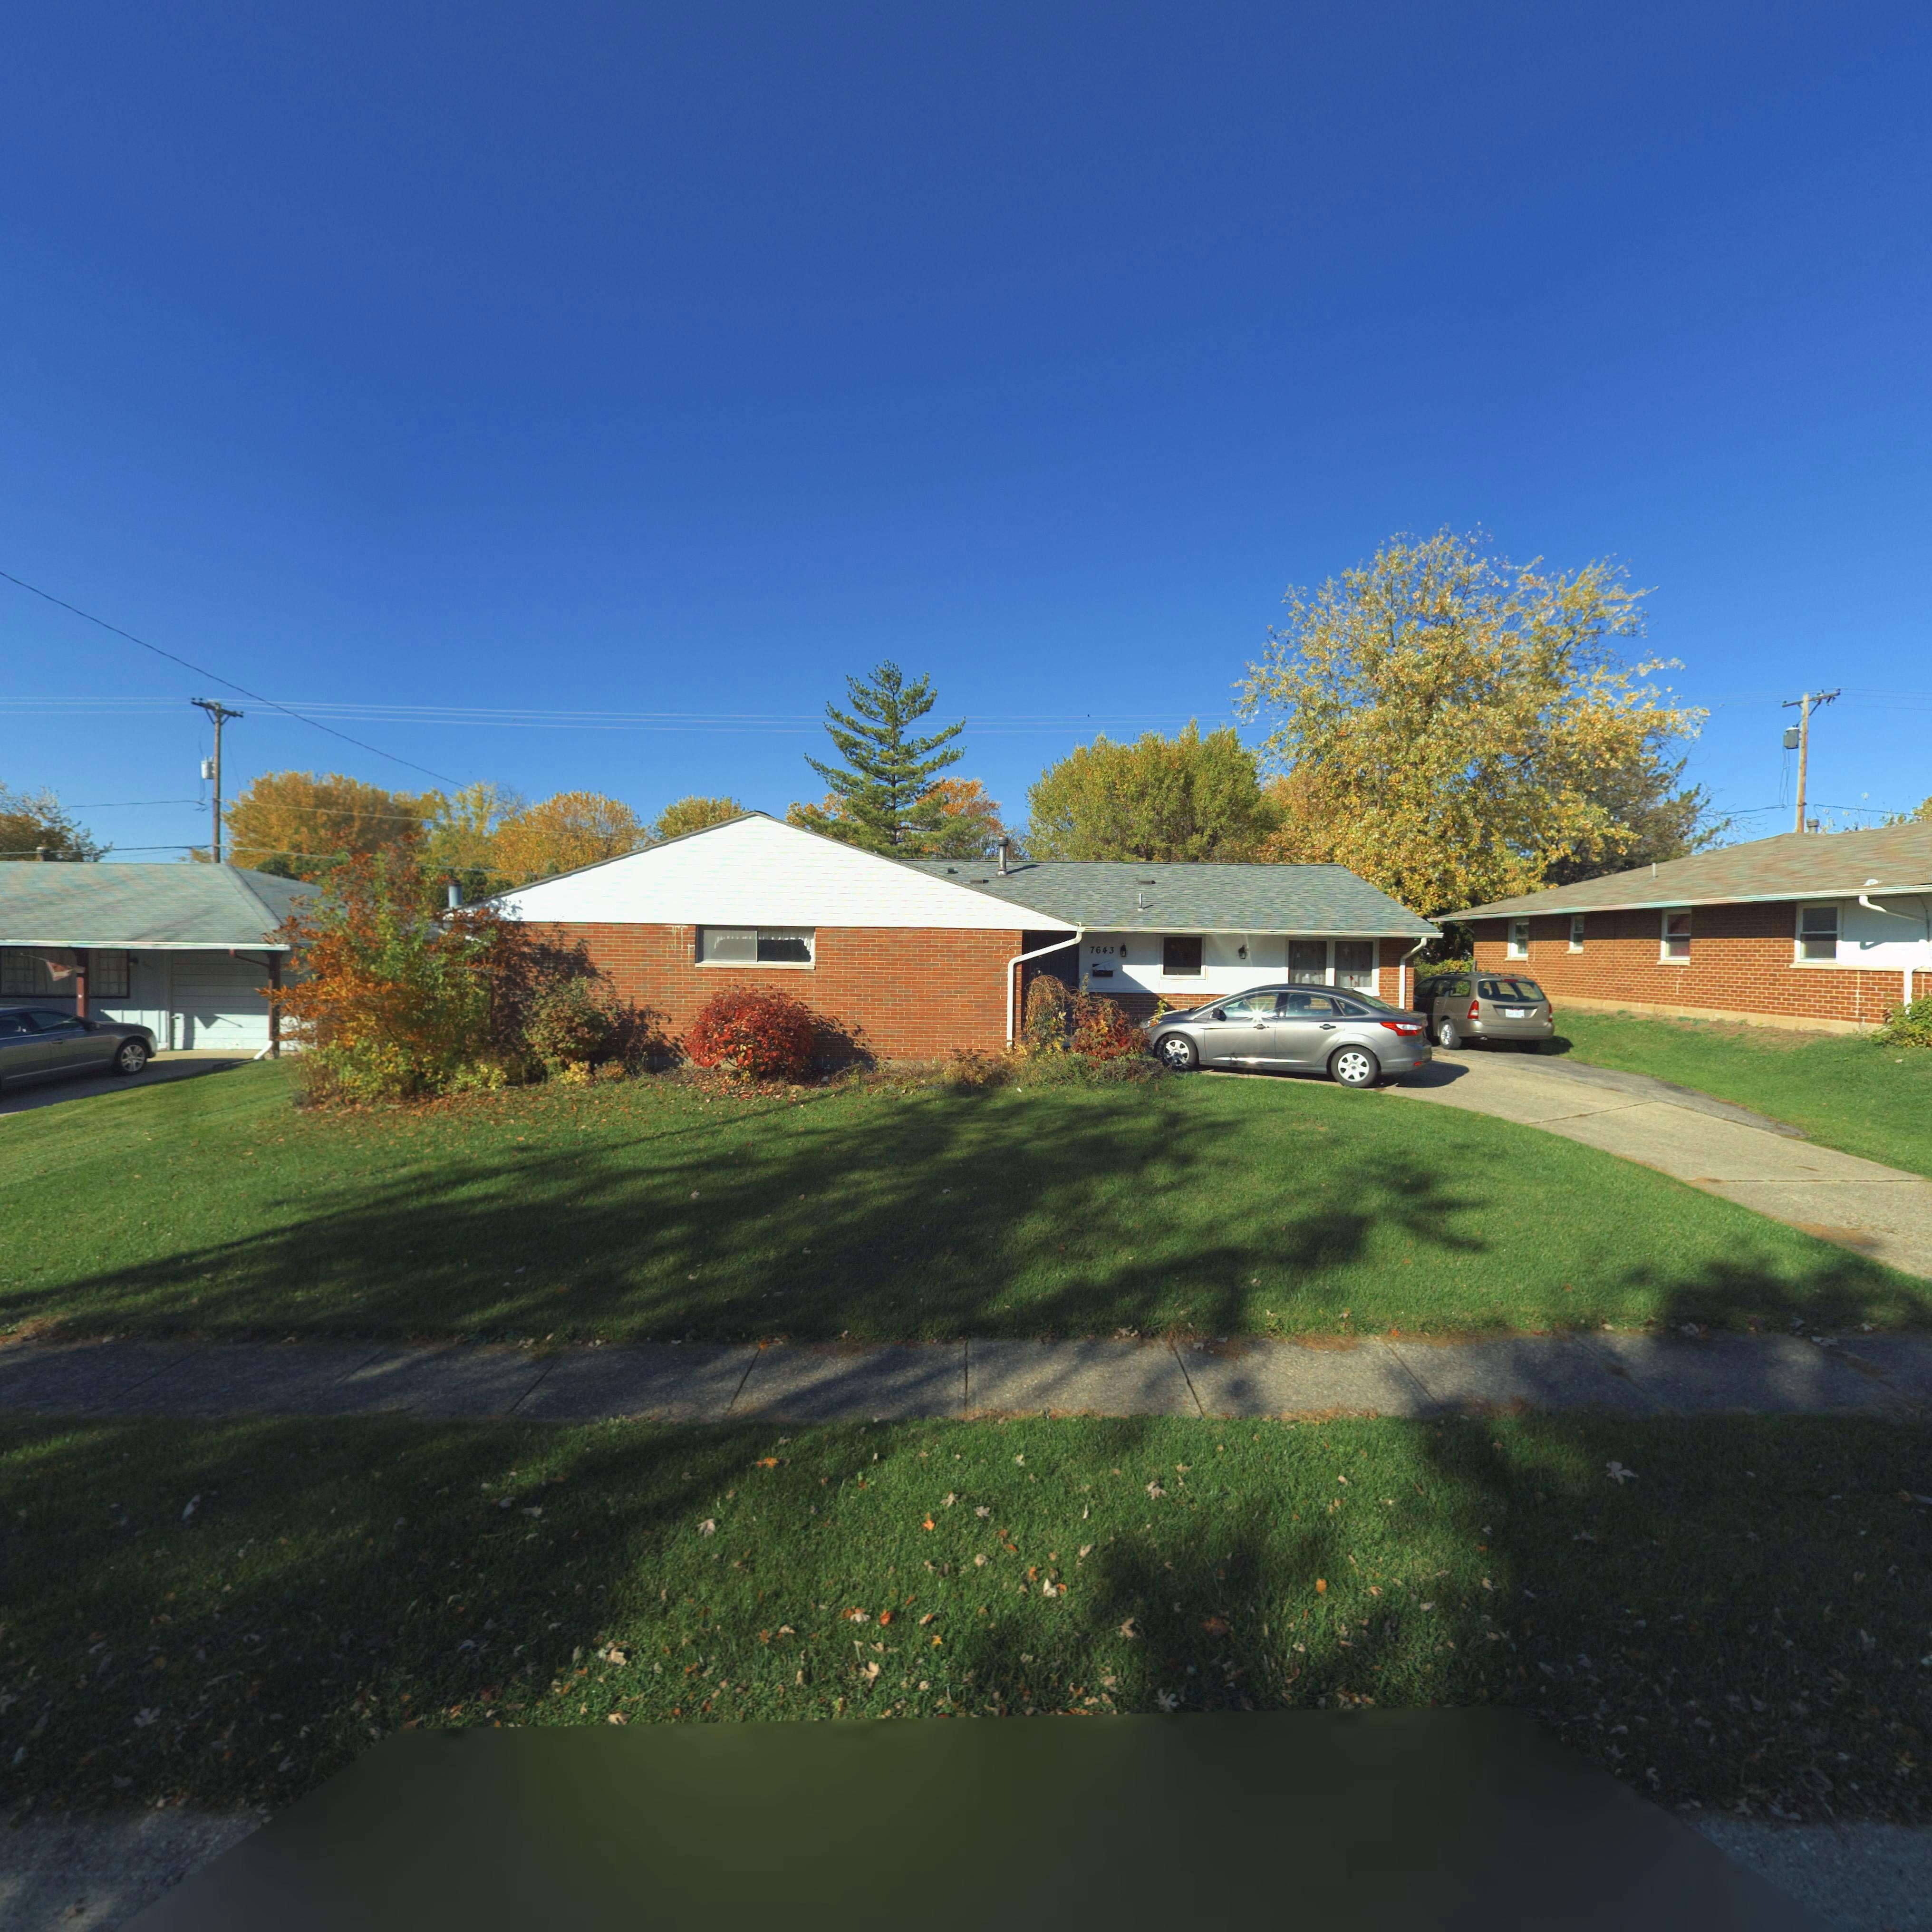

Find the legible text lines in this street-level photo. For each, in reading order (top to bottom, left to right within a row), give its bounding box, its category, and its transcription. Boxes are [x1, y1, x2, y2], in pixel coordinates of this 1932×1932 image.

[1090, 946, 1114, 955] StreetNumber: 7643